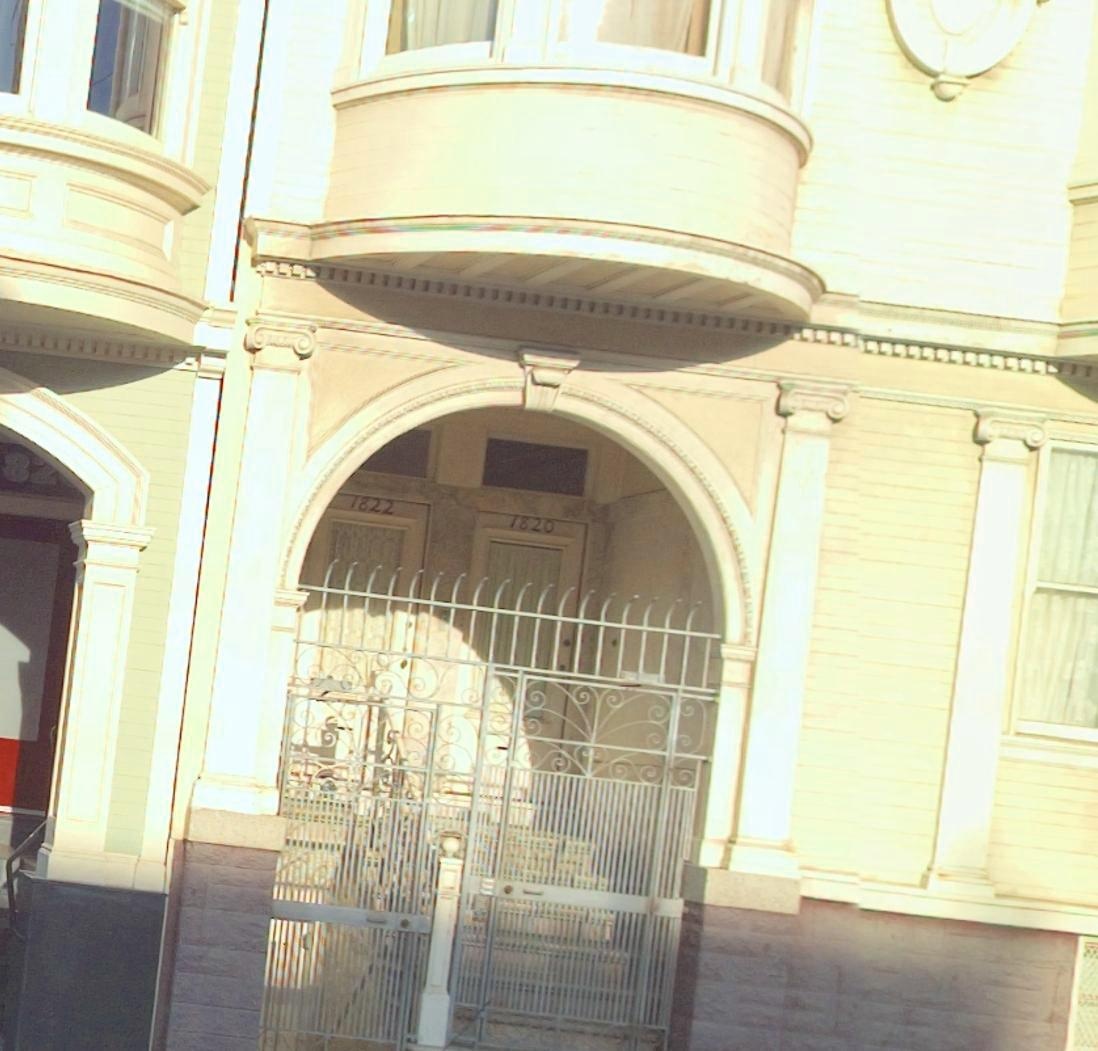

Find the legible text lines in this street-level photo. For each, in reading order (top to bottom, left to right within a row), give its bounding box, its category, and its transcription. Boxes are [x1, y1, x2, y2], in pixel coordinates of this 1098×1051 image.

[345, 492, 397, 516] StreetNumber: 1822
[507, 511, 557, 537] StreetNumber: 1820